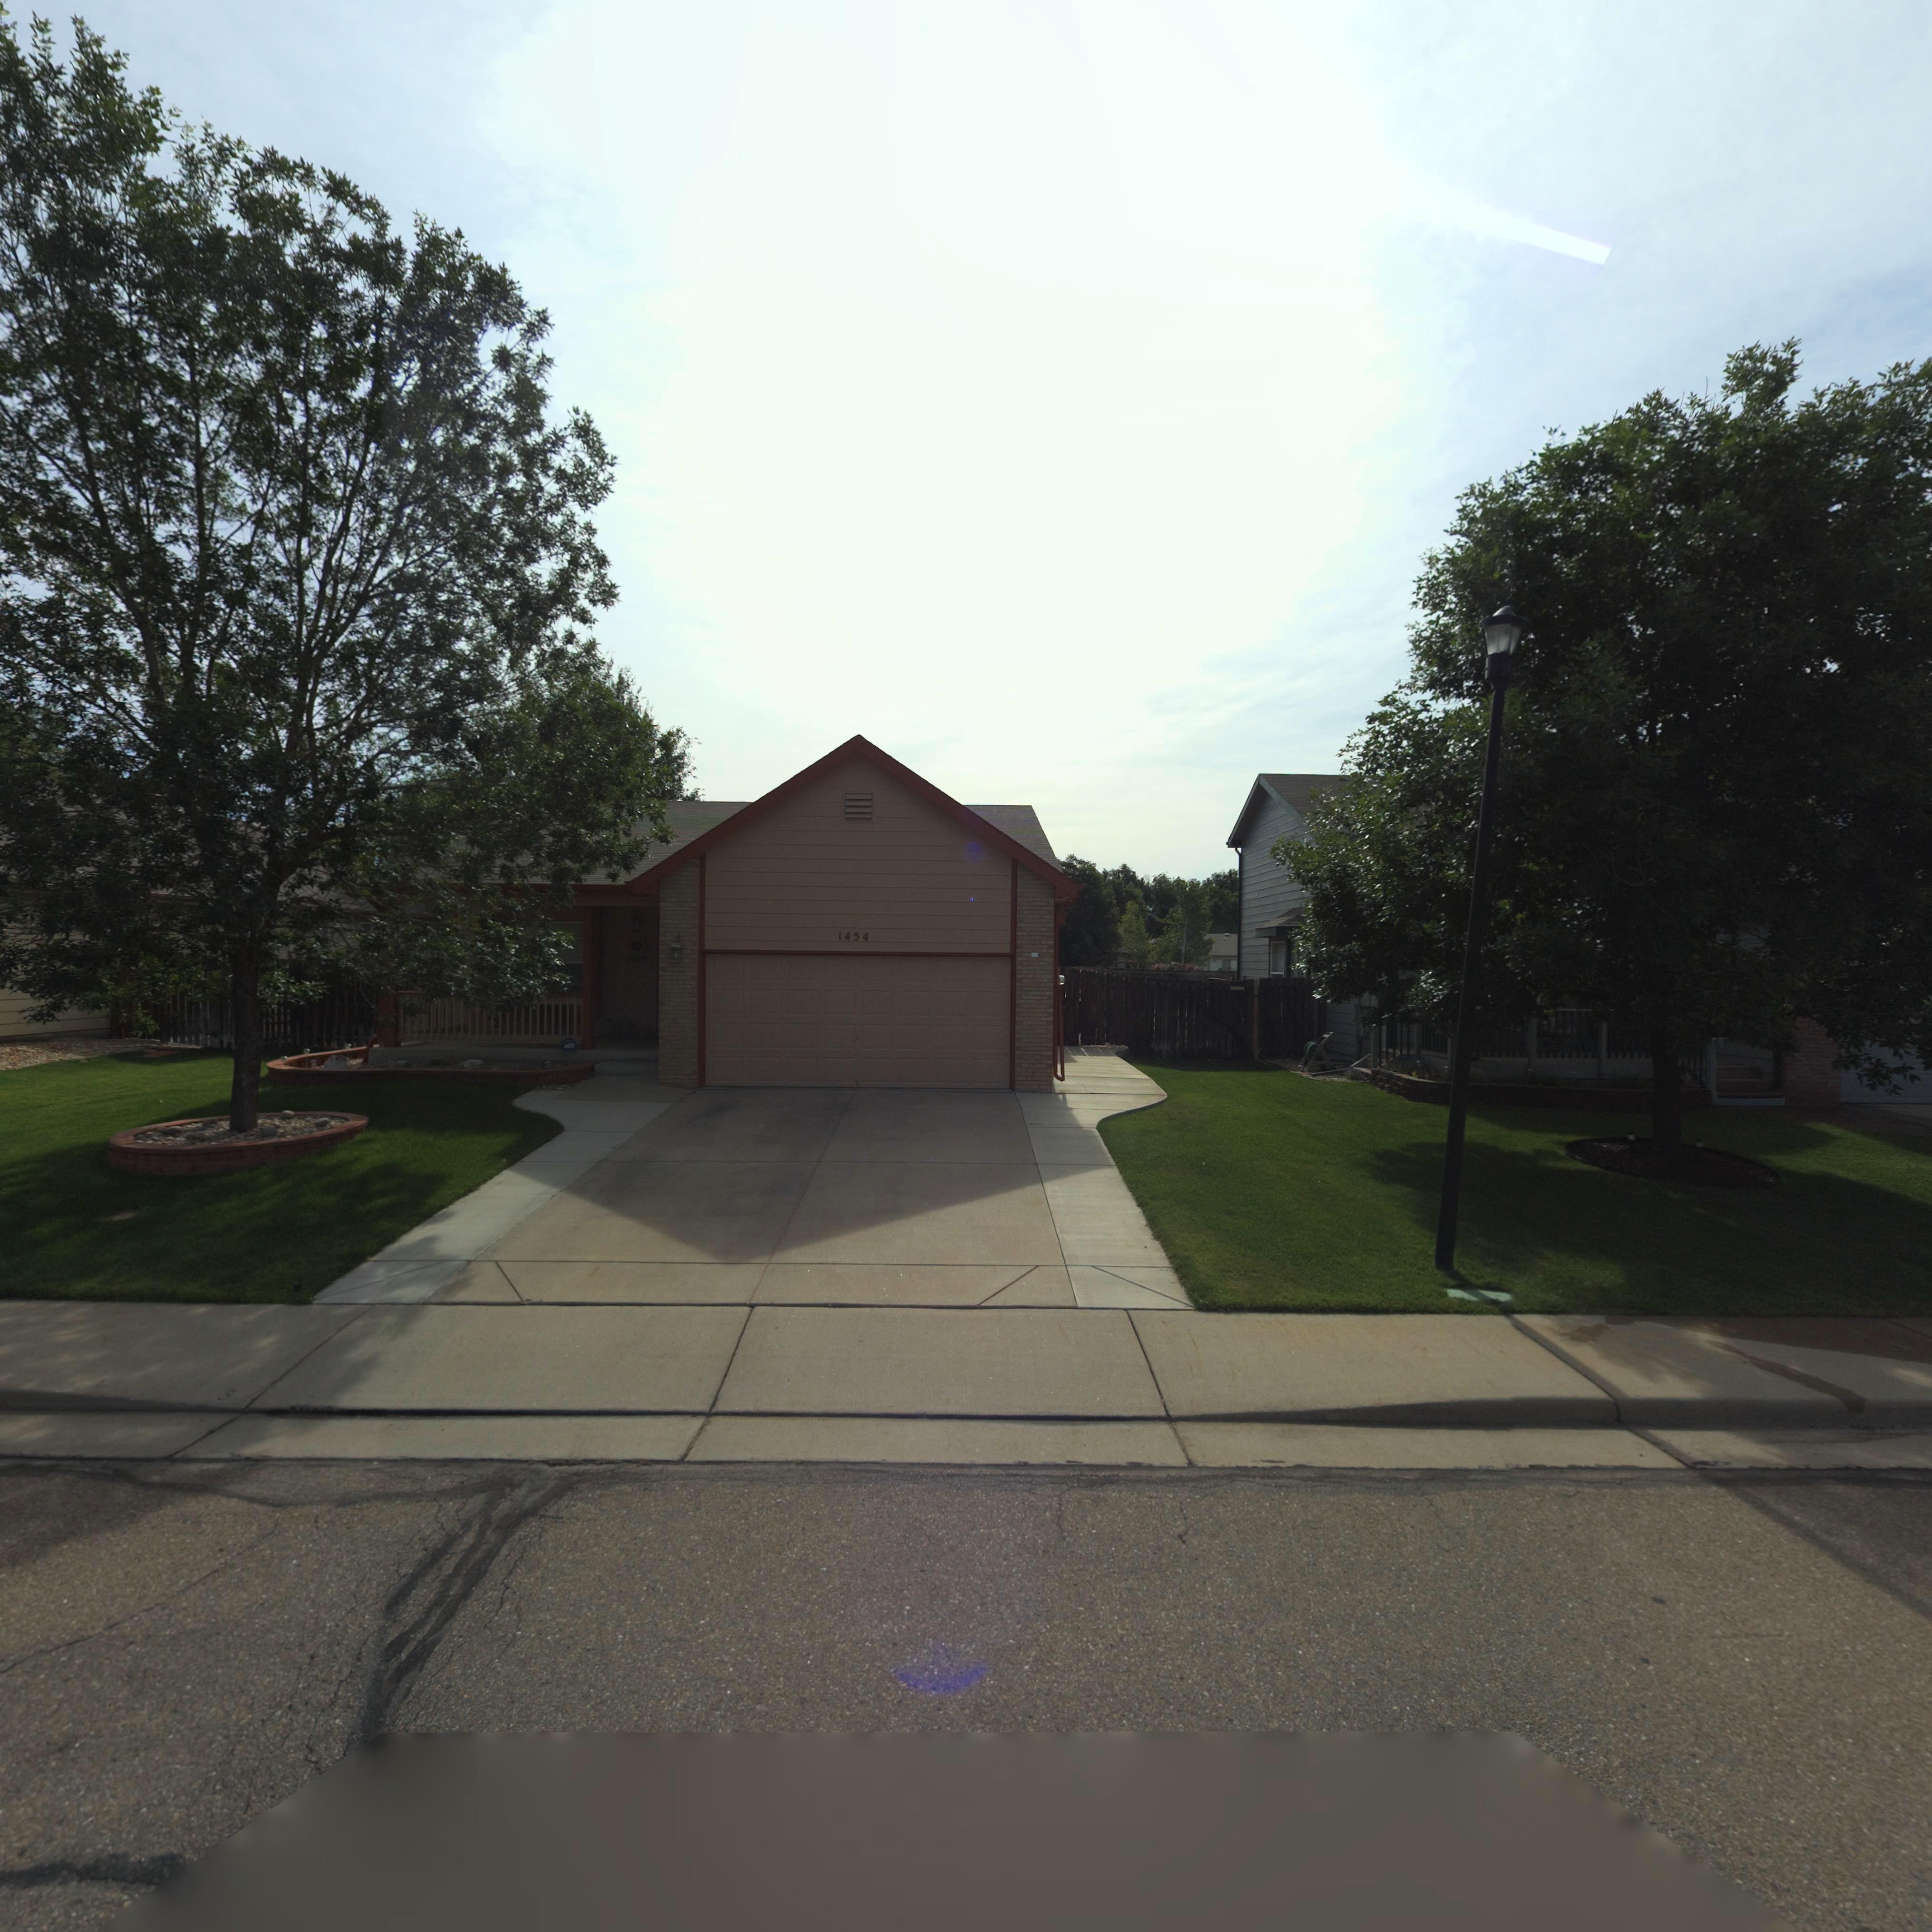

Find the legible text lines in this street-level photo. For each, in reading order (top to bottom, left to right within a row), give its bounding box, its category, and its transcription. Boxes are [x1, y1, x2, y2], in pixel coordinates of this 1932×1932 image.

[837, 931, 869, 942] StreetNumber: 1454